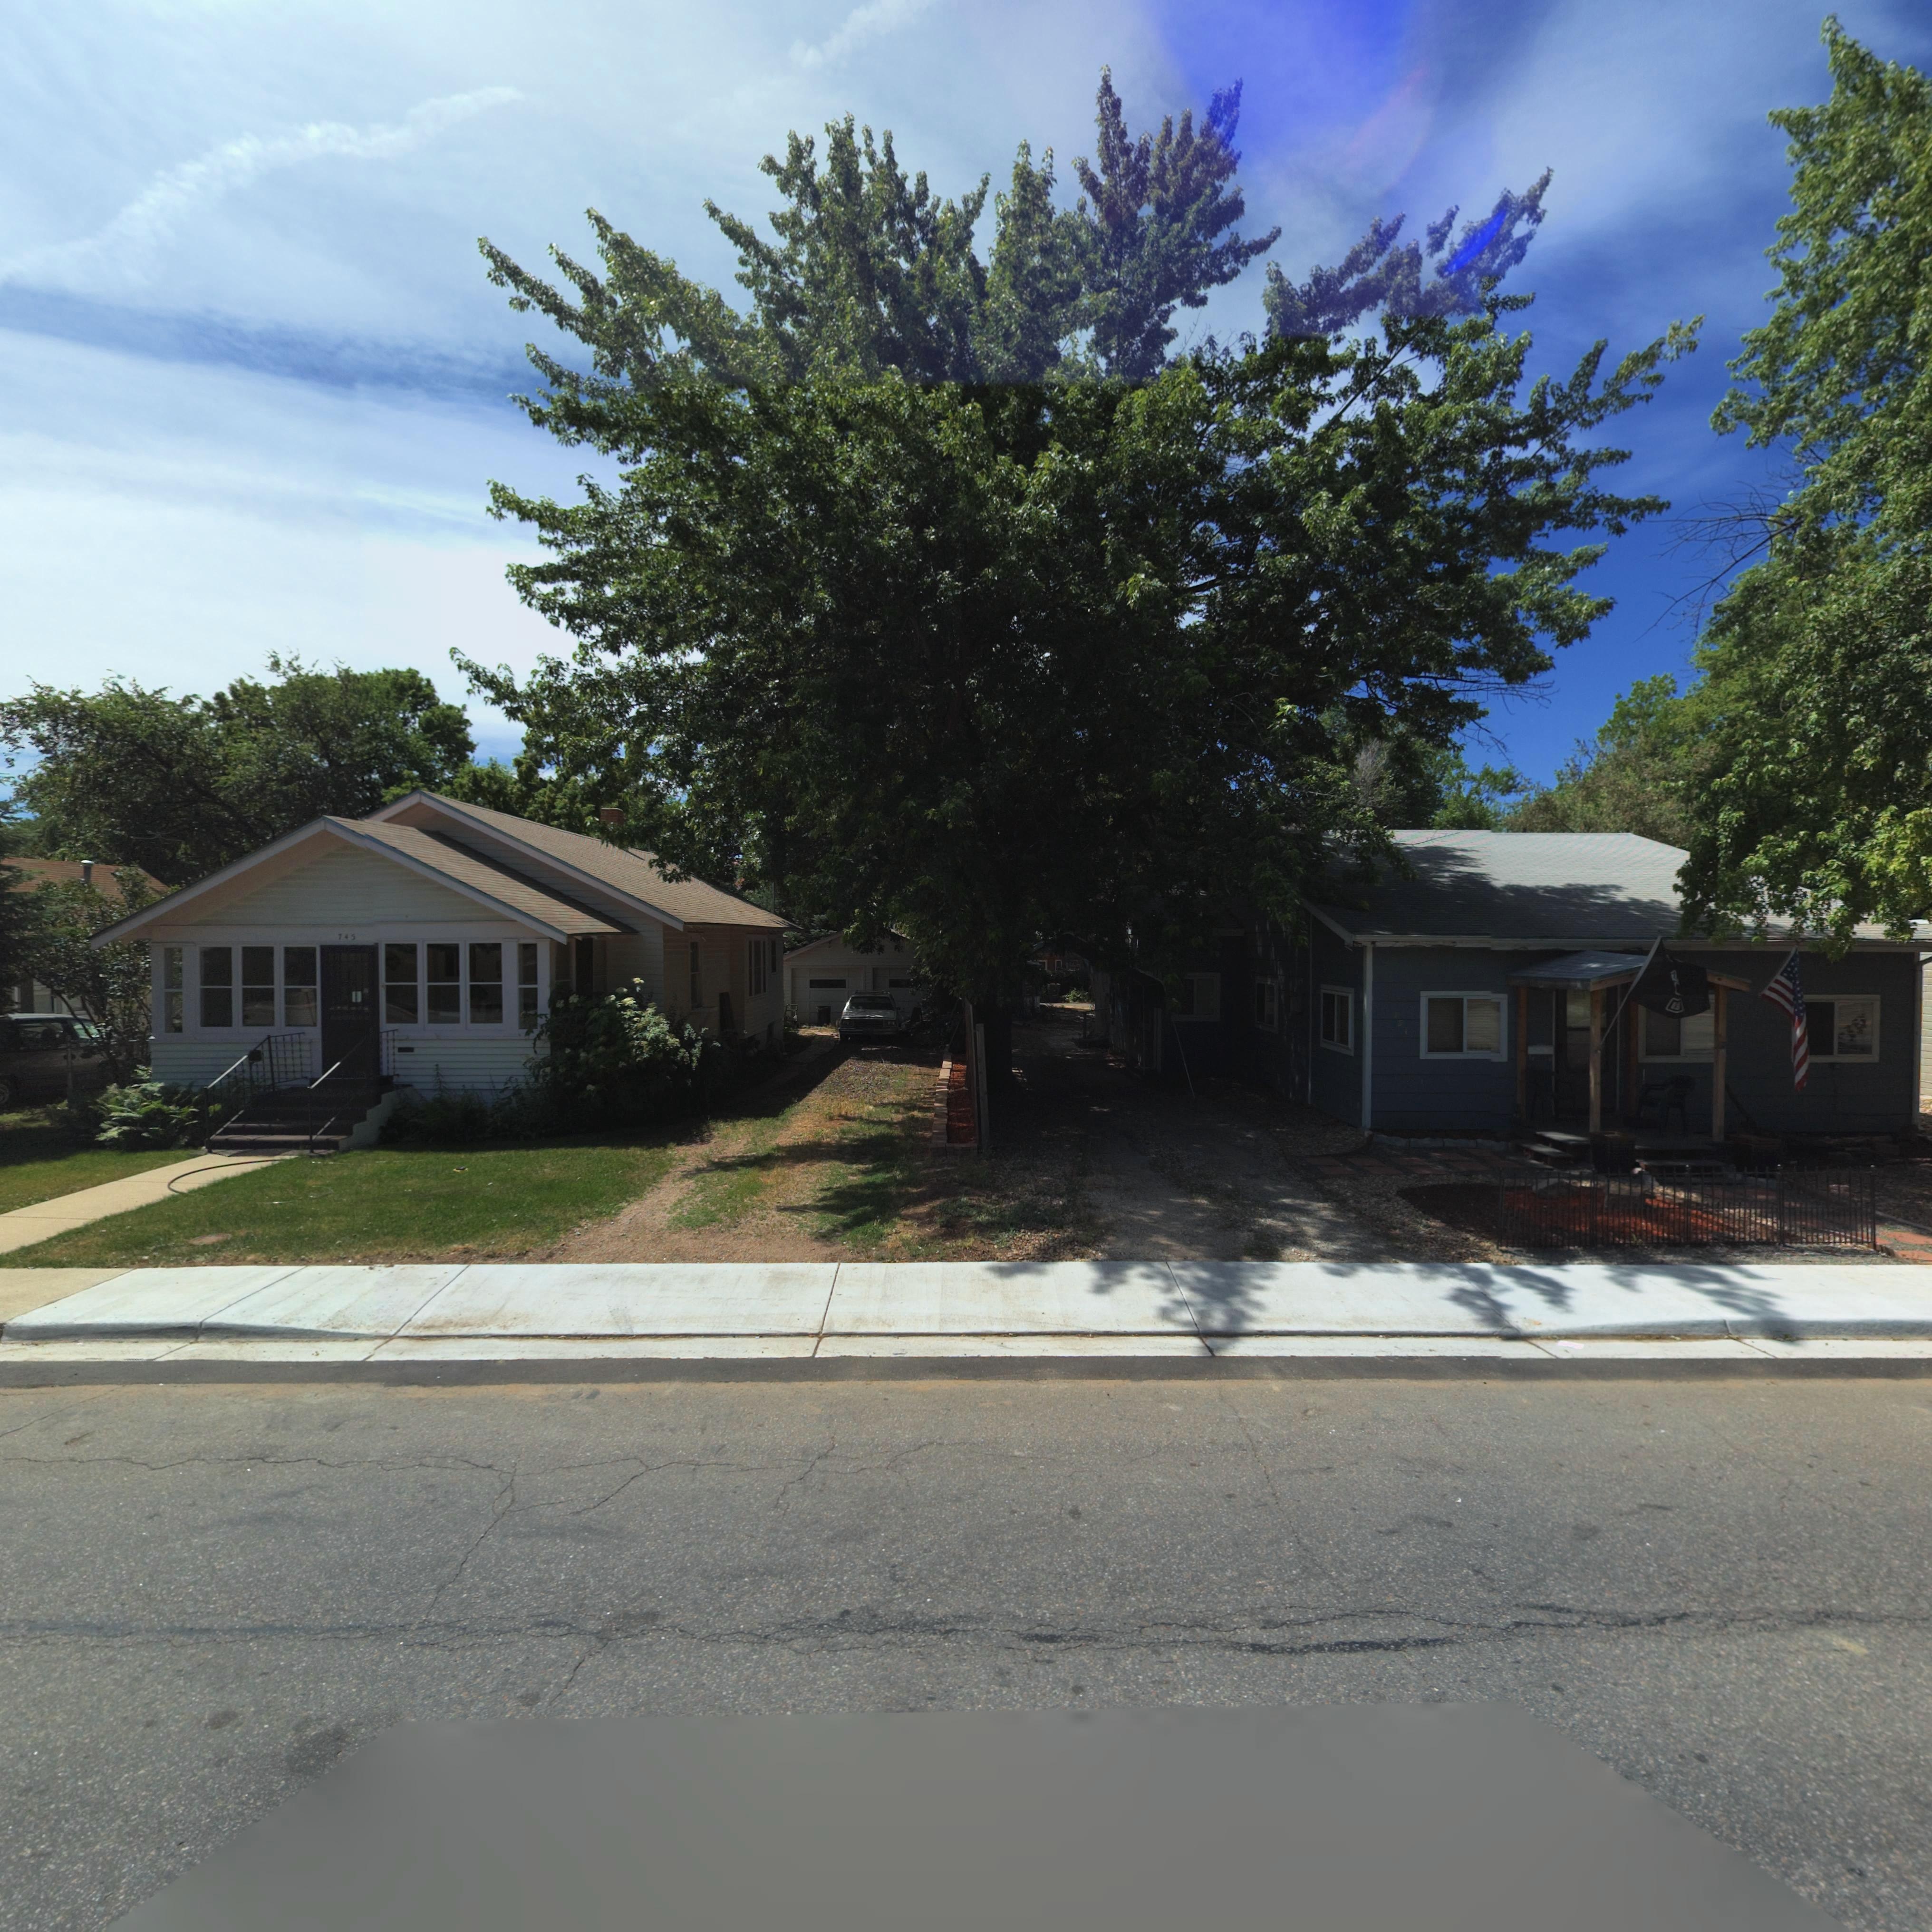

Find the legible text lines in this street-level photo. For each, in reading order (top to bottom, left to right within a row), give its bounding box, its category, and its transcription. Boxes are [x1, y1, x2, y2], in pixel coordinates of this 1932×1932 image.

[337, 933, 356, 941] StreetNumber: 745
[1391, 1011, 1408, 1035] StreetNumber: *51